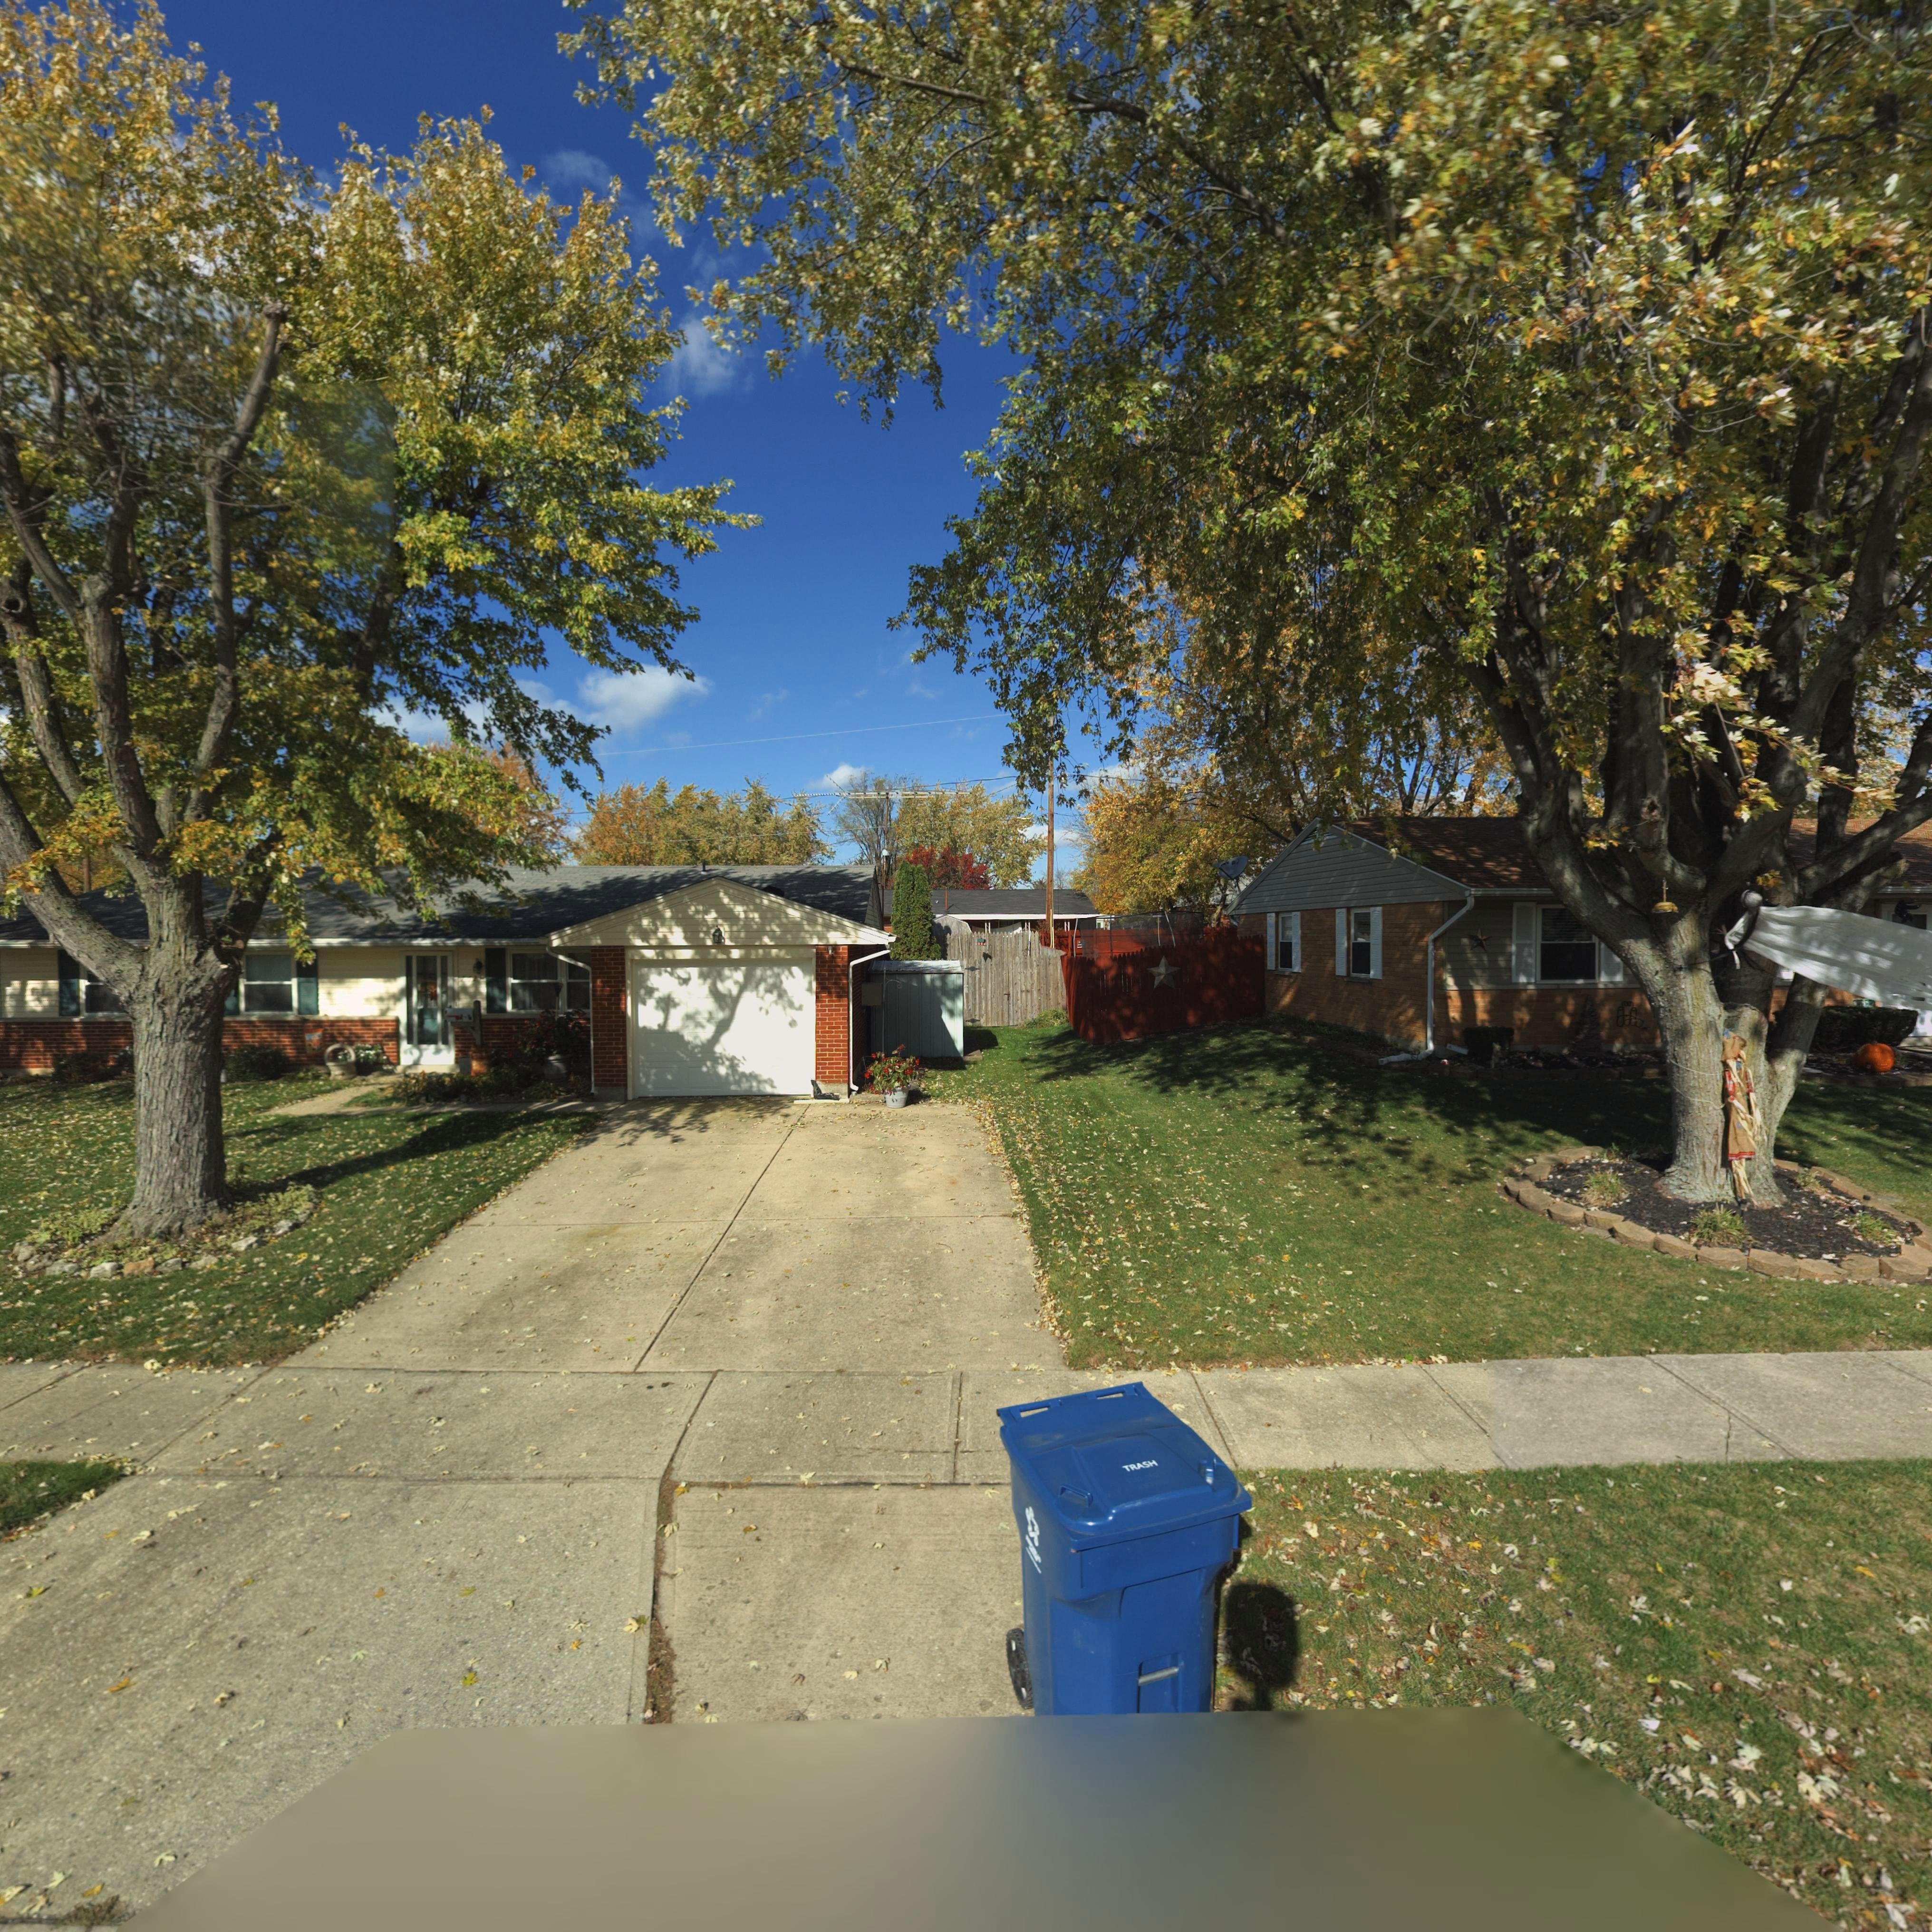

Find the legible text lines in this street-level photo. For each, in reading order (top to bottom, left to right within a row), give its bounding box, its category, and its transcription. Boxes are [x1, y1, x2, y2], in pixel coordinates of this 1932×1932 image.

[460, 975, 477, 982] StreetNumber: 7*2